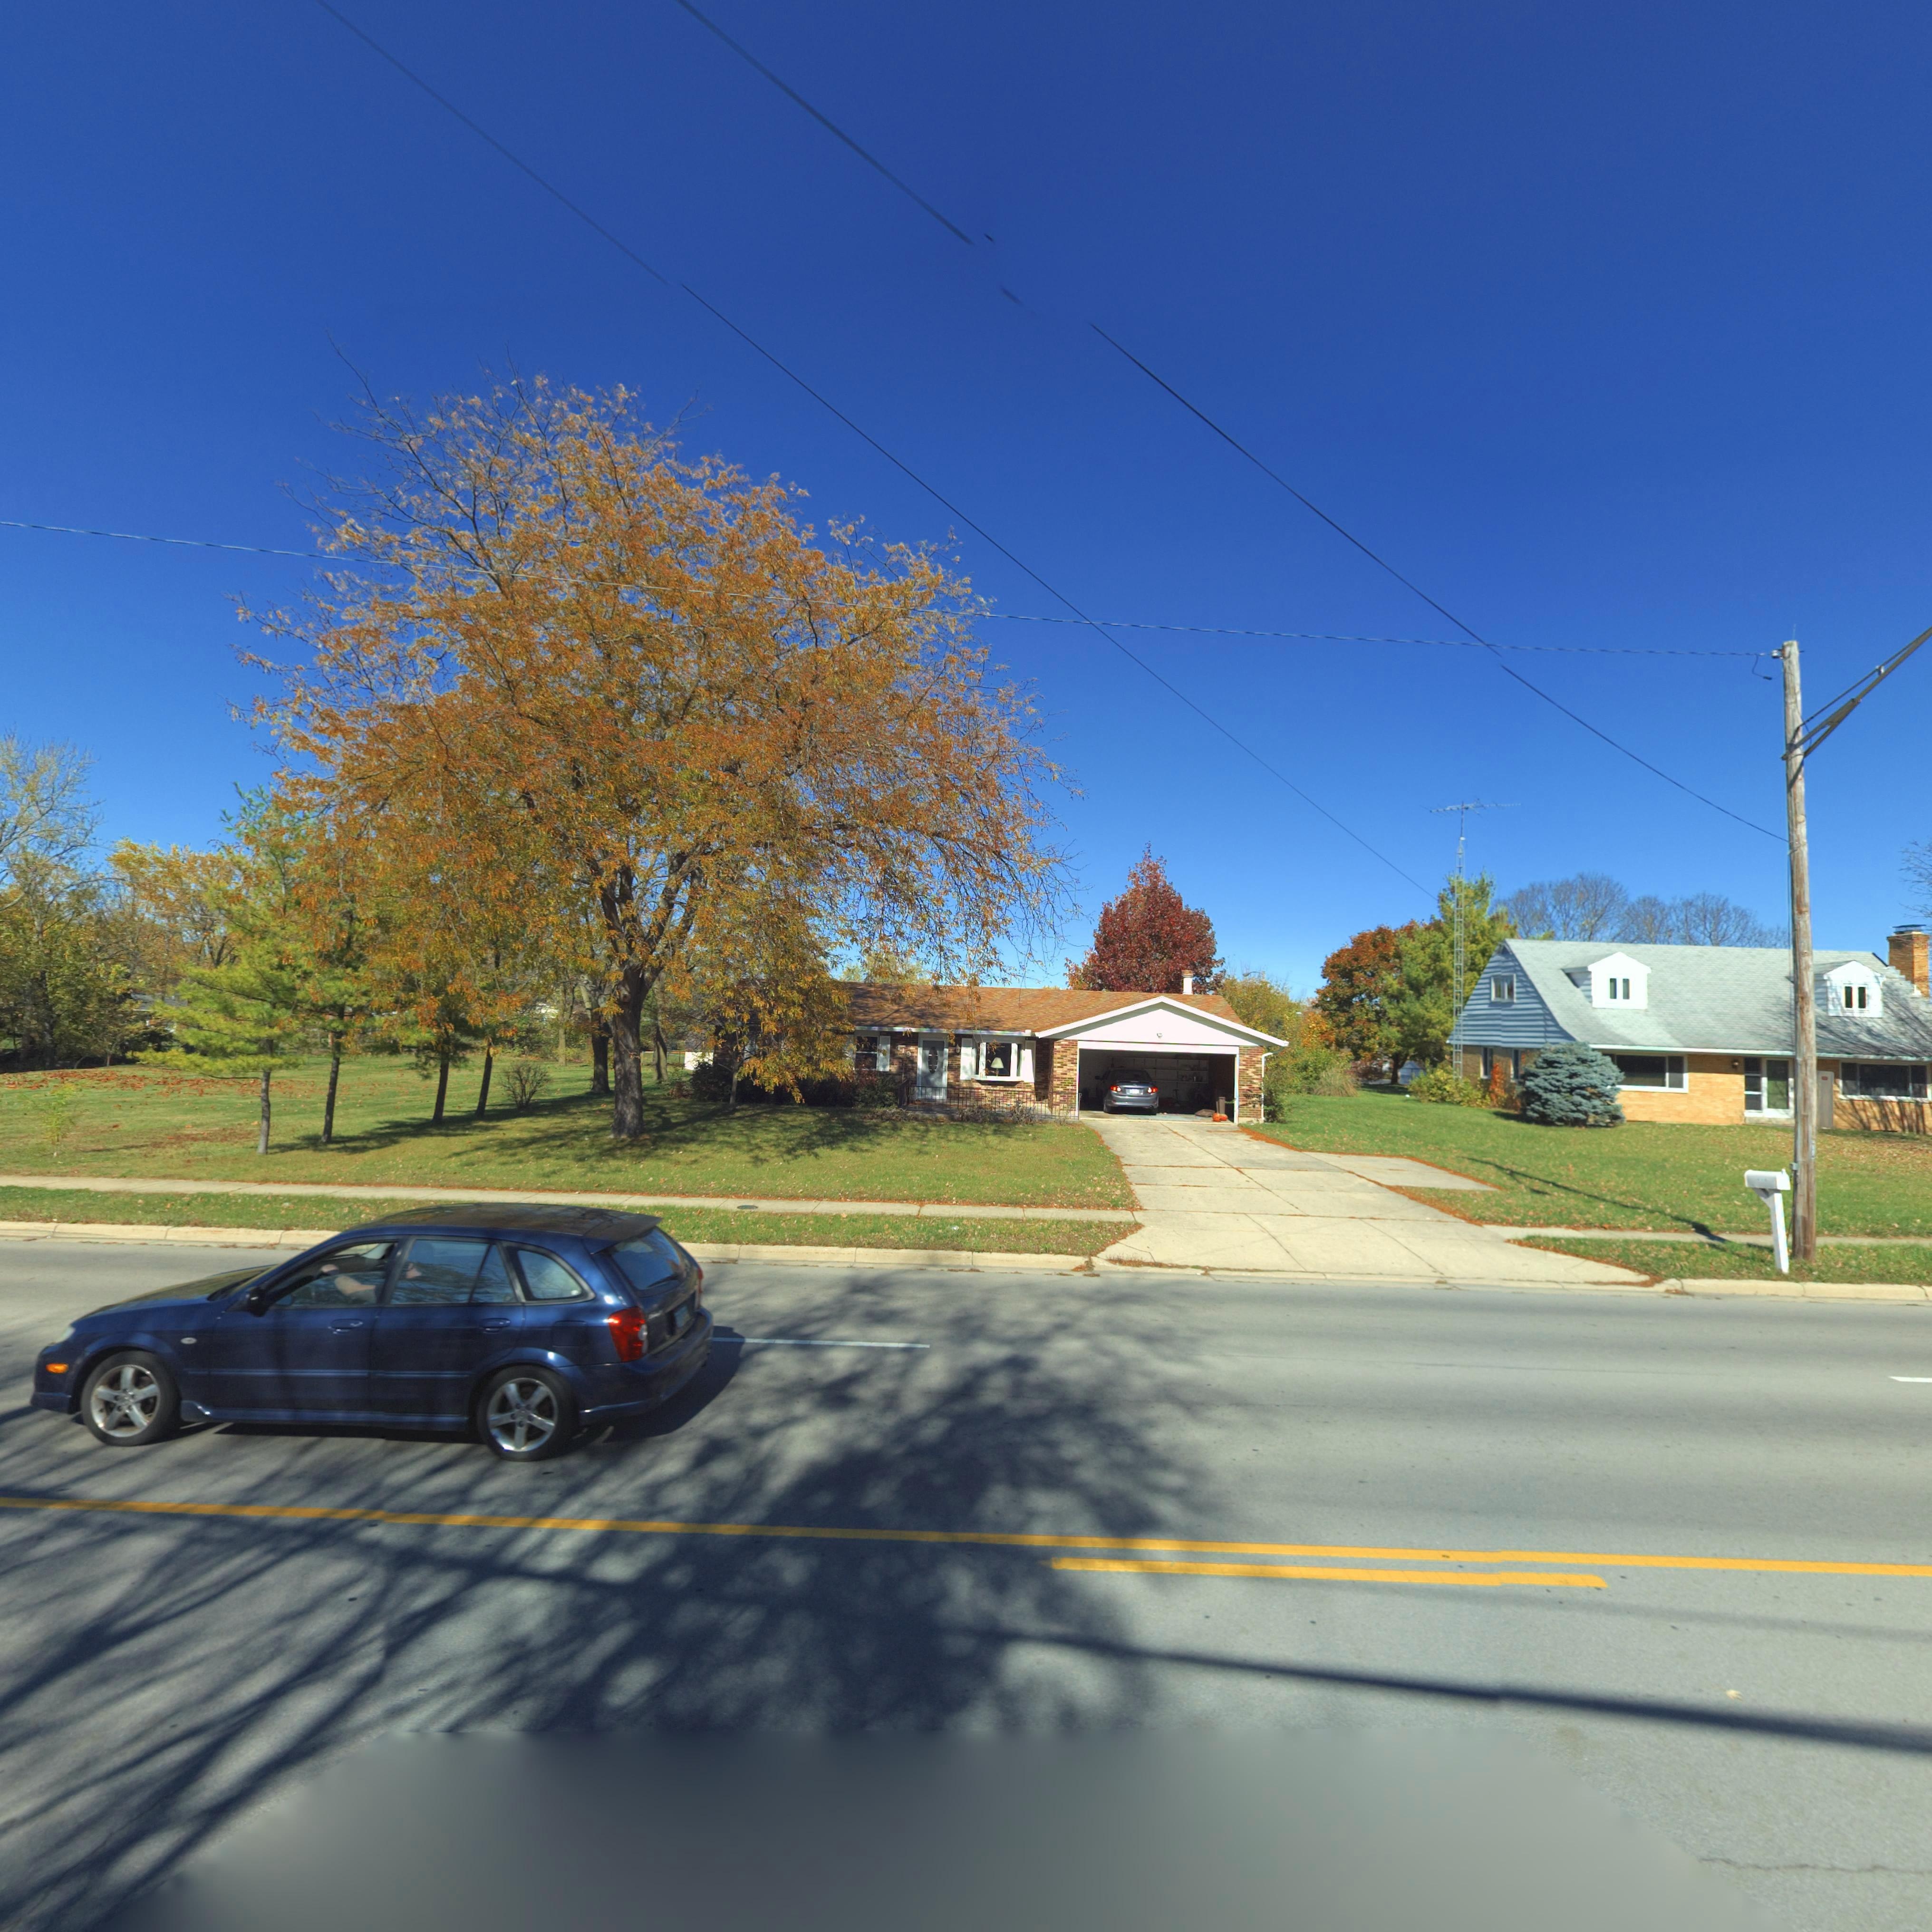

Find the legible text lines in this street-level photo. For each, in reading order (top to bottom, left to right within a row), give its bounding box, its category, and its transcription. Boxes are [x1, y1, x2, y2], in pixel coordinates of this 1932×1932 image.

[895, 1044, 912, 1059] StreetNumber: 419